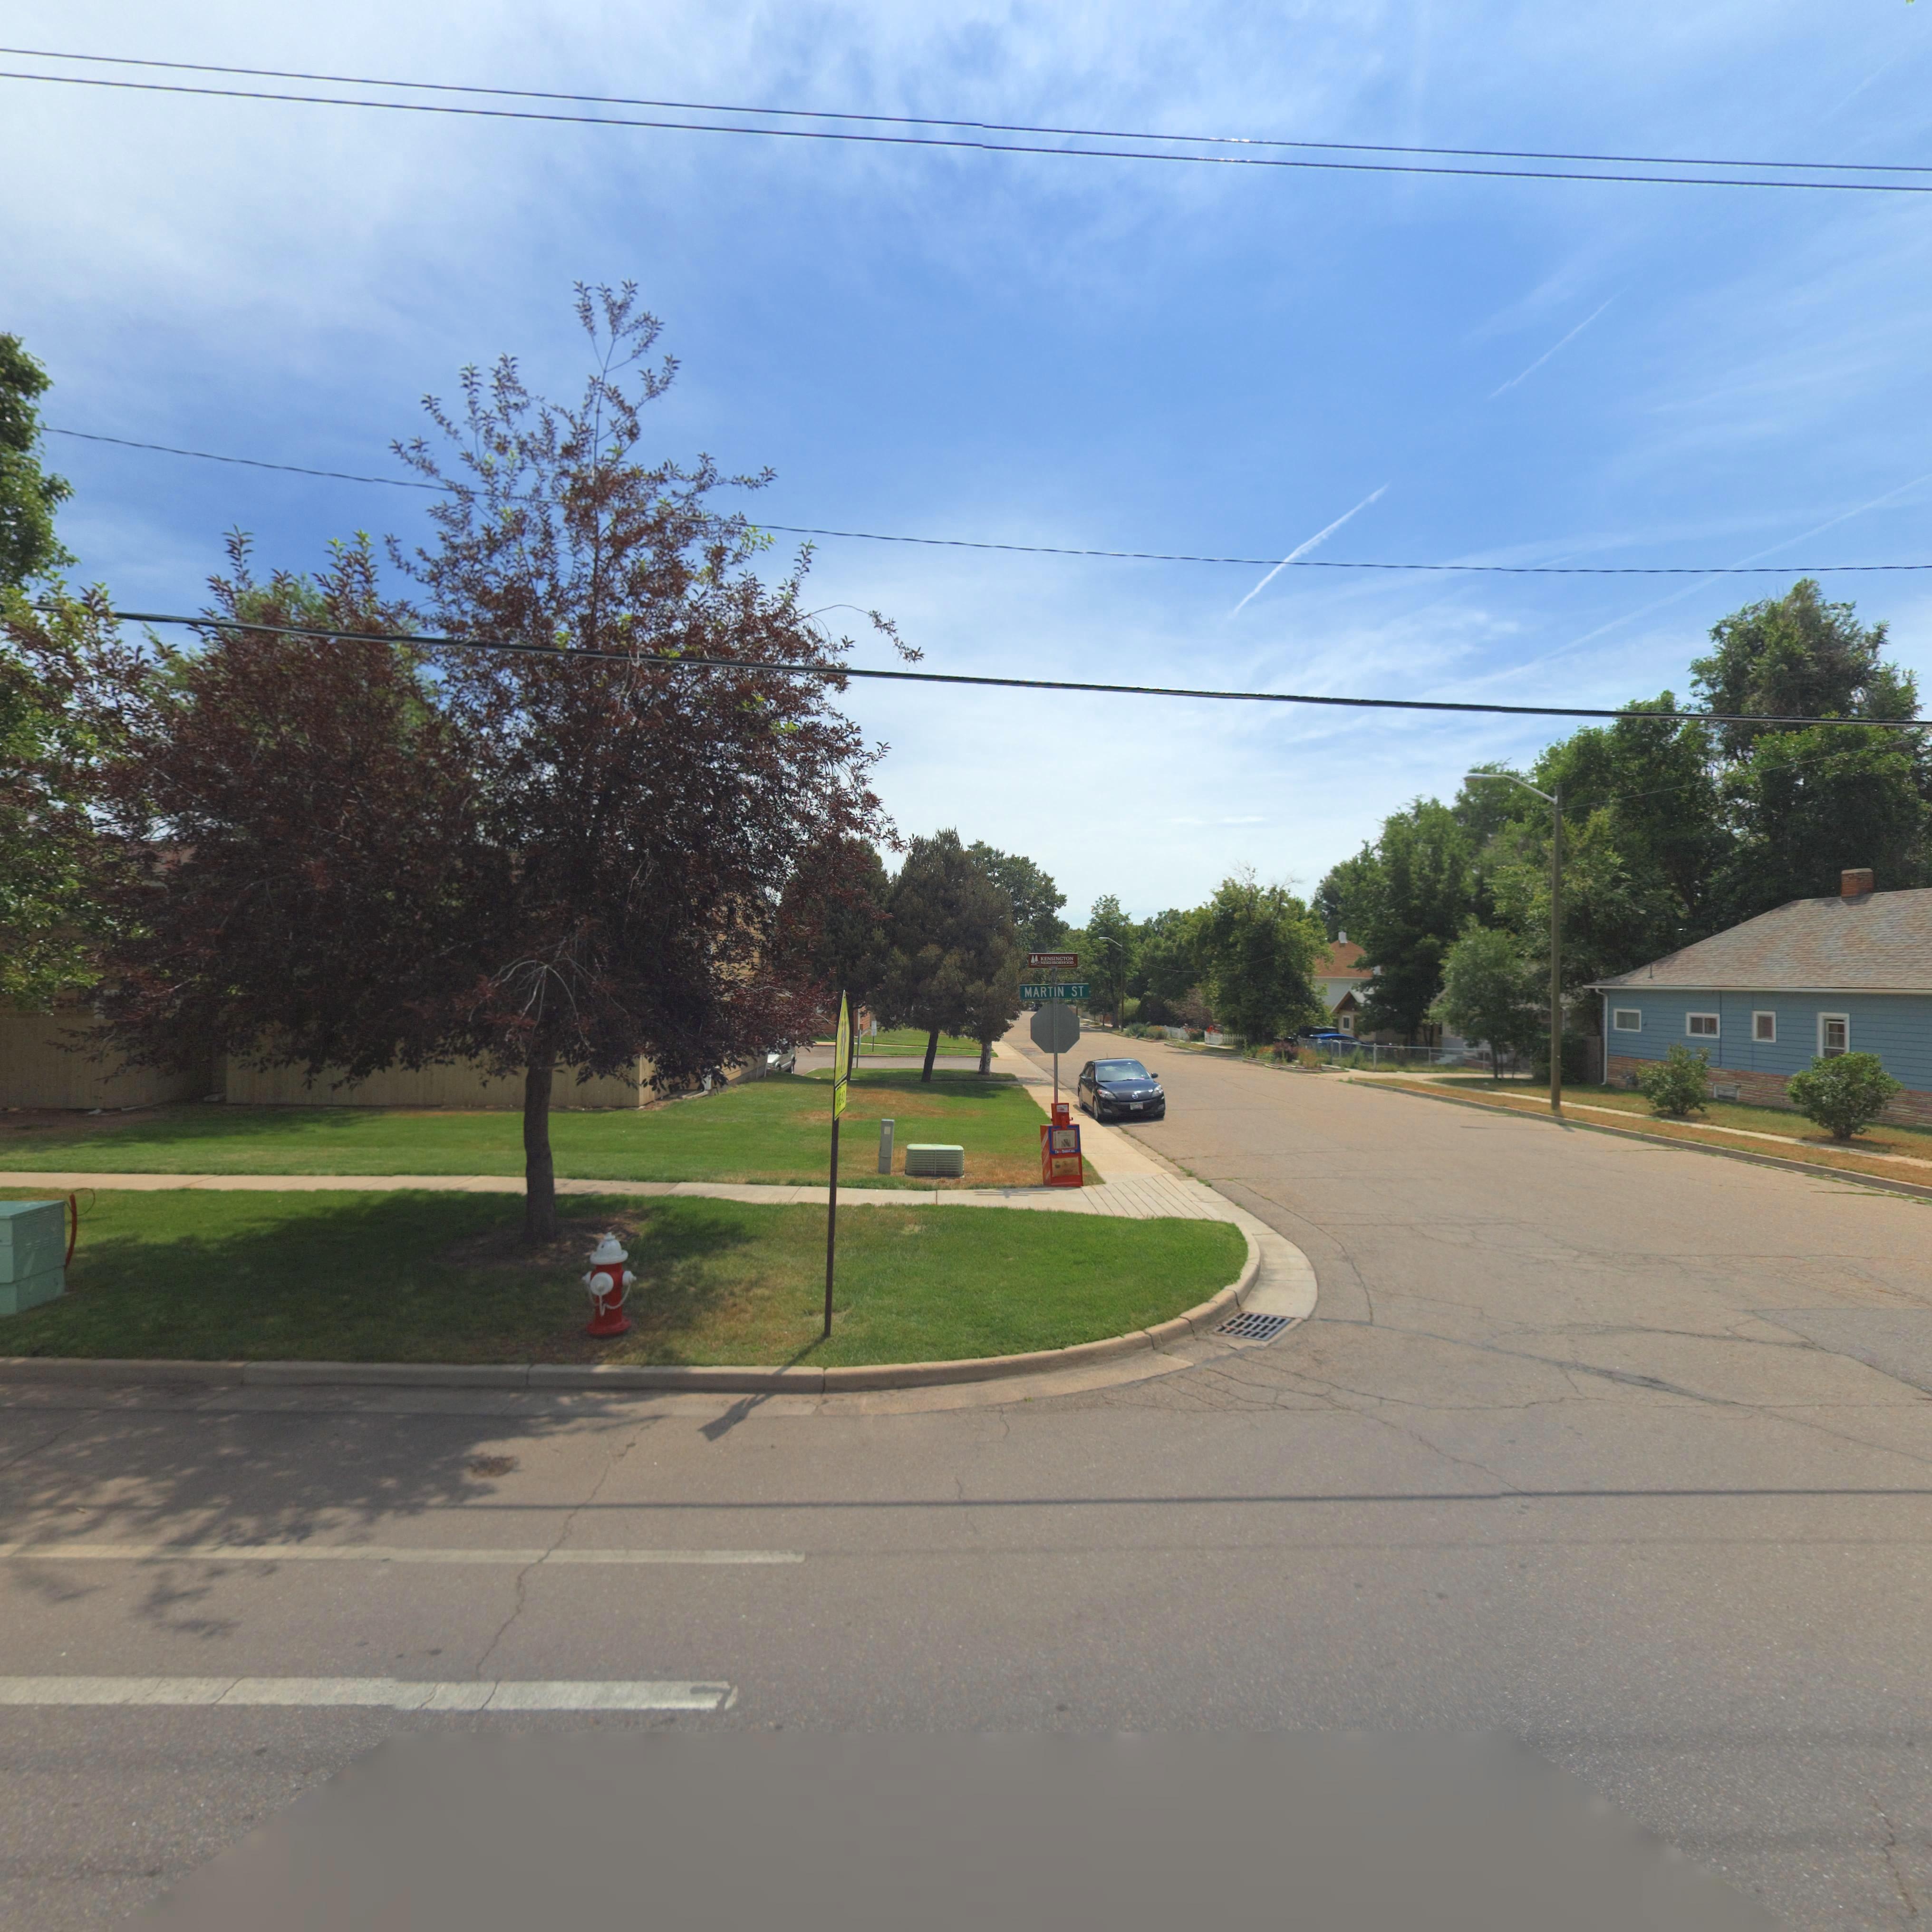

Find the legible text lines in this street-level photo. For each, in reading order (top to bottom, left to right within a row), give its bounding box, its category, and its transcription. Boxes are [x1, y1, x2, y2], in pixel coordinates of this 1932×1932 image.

[1024, 985, 1084, 998] StreetName: MARTIN ST